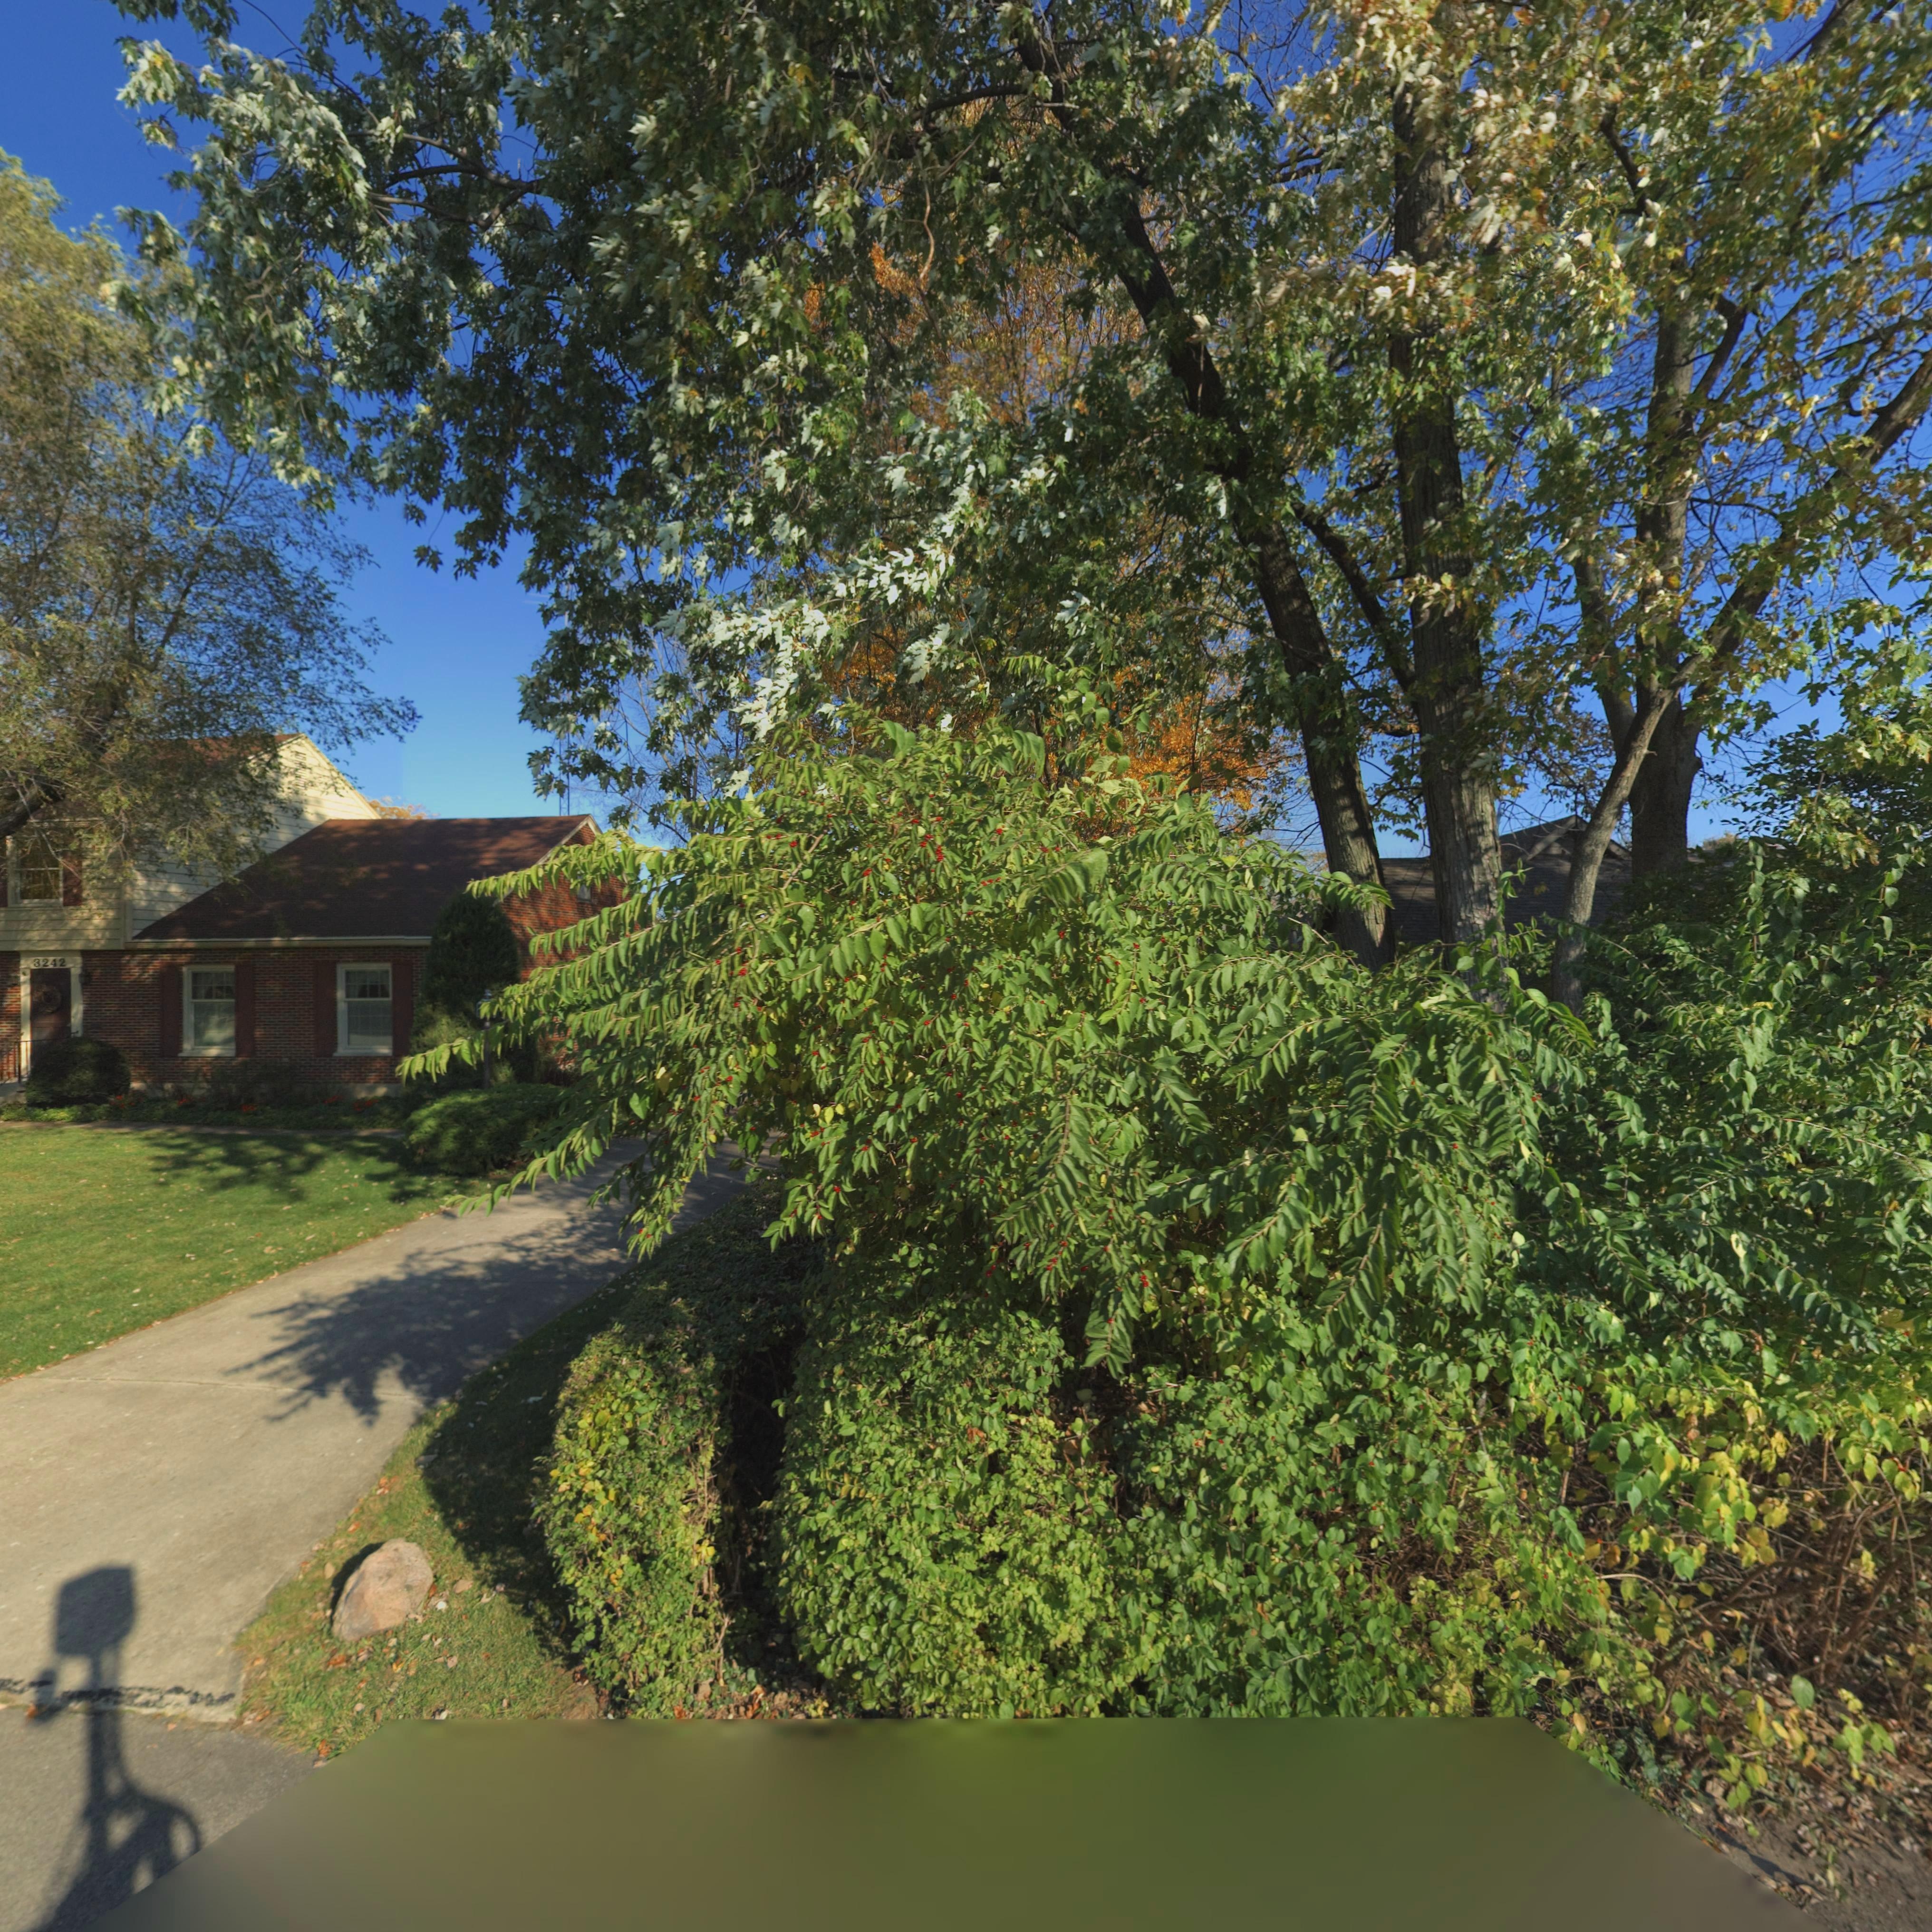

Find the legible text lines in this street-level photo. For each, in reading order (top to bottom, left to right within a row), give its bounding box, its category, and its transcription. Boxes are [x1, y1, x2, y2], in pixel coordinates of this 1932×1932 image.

[33, 957, 67, 967] StreetNumber: 3242